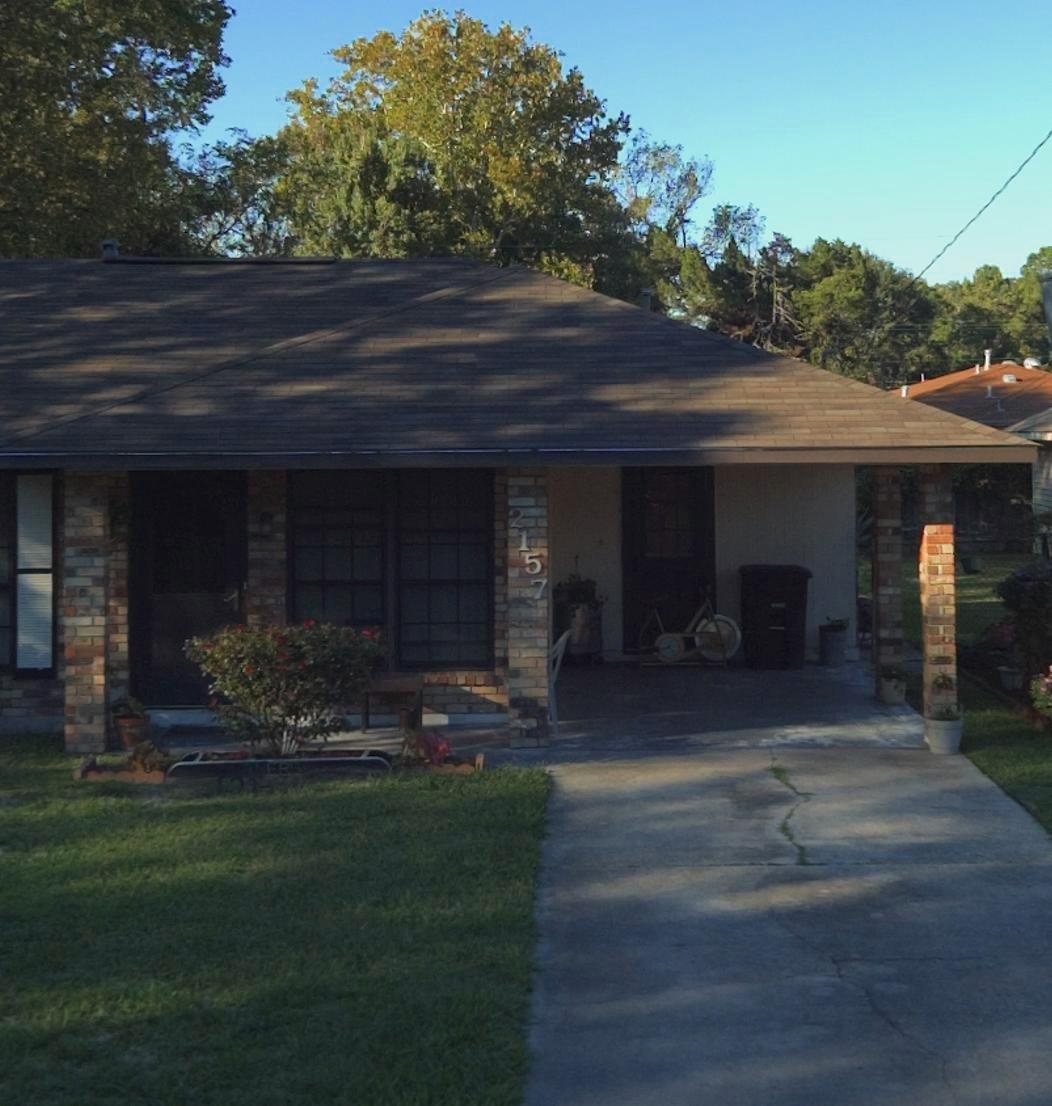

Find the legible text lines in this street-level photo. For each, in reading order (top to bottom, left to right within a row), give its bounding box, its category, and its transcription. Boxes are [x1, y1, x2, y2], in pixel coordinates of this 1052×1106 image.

[507, 506, 549, 601] StreetNumber: 2157